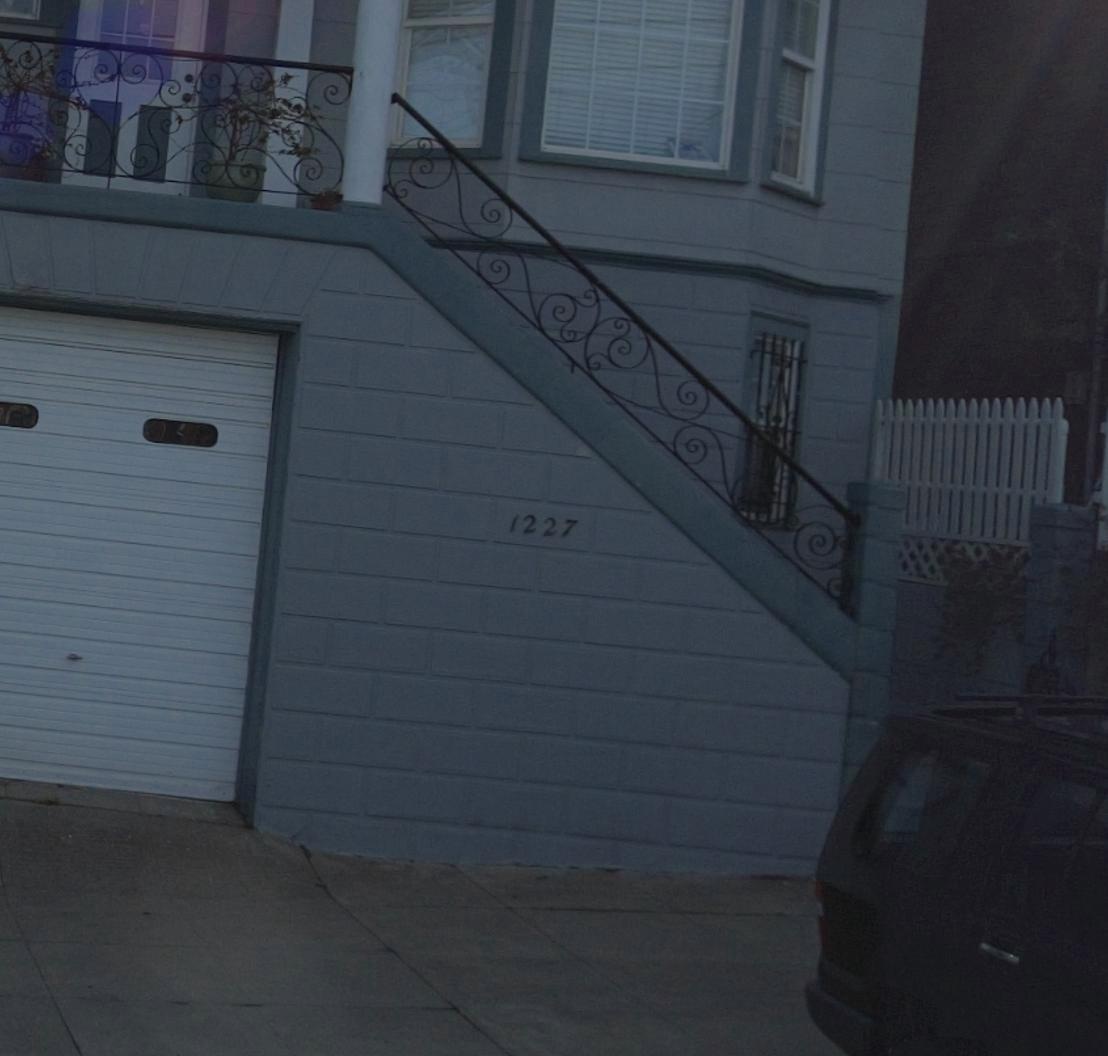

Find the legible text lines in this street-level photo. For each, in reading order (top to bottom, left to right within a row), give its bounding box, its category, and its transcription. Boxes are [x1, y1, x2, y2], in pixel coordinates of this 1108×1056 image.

[506, 512, 581, 539] StreetNumber: 1227